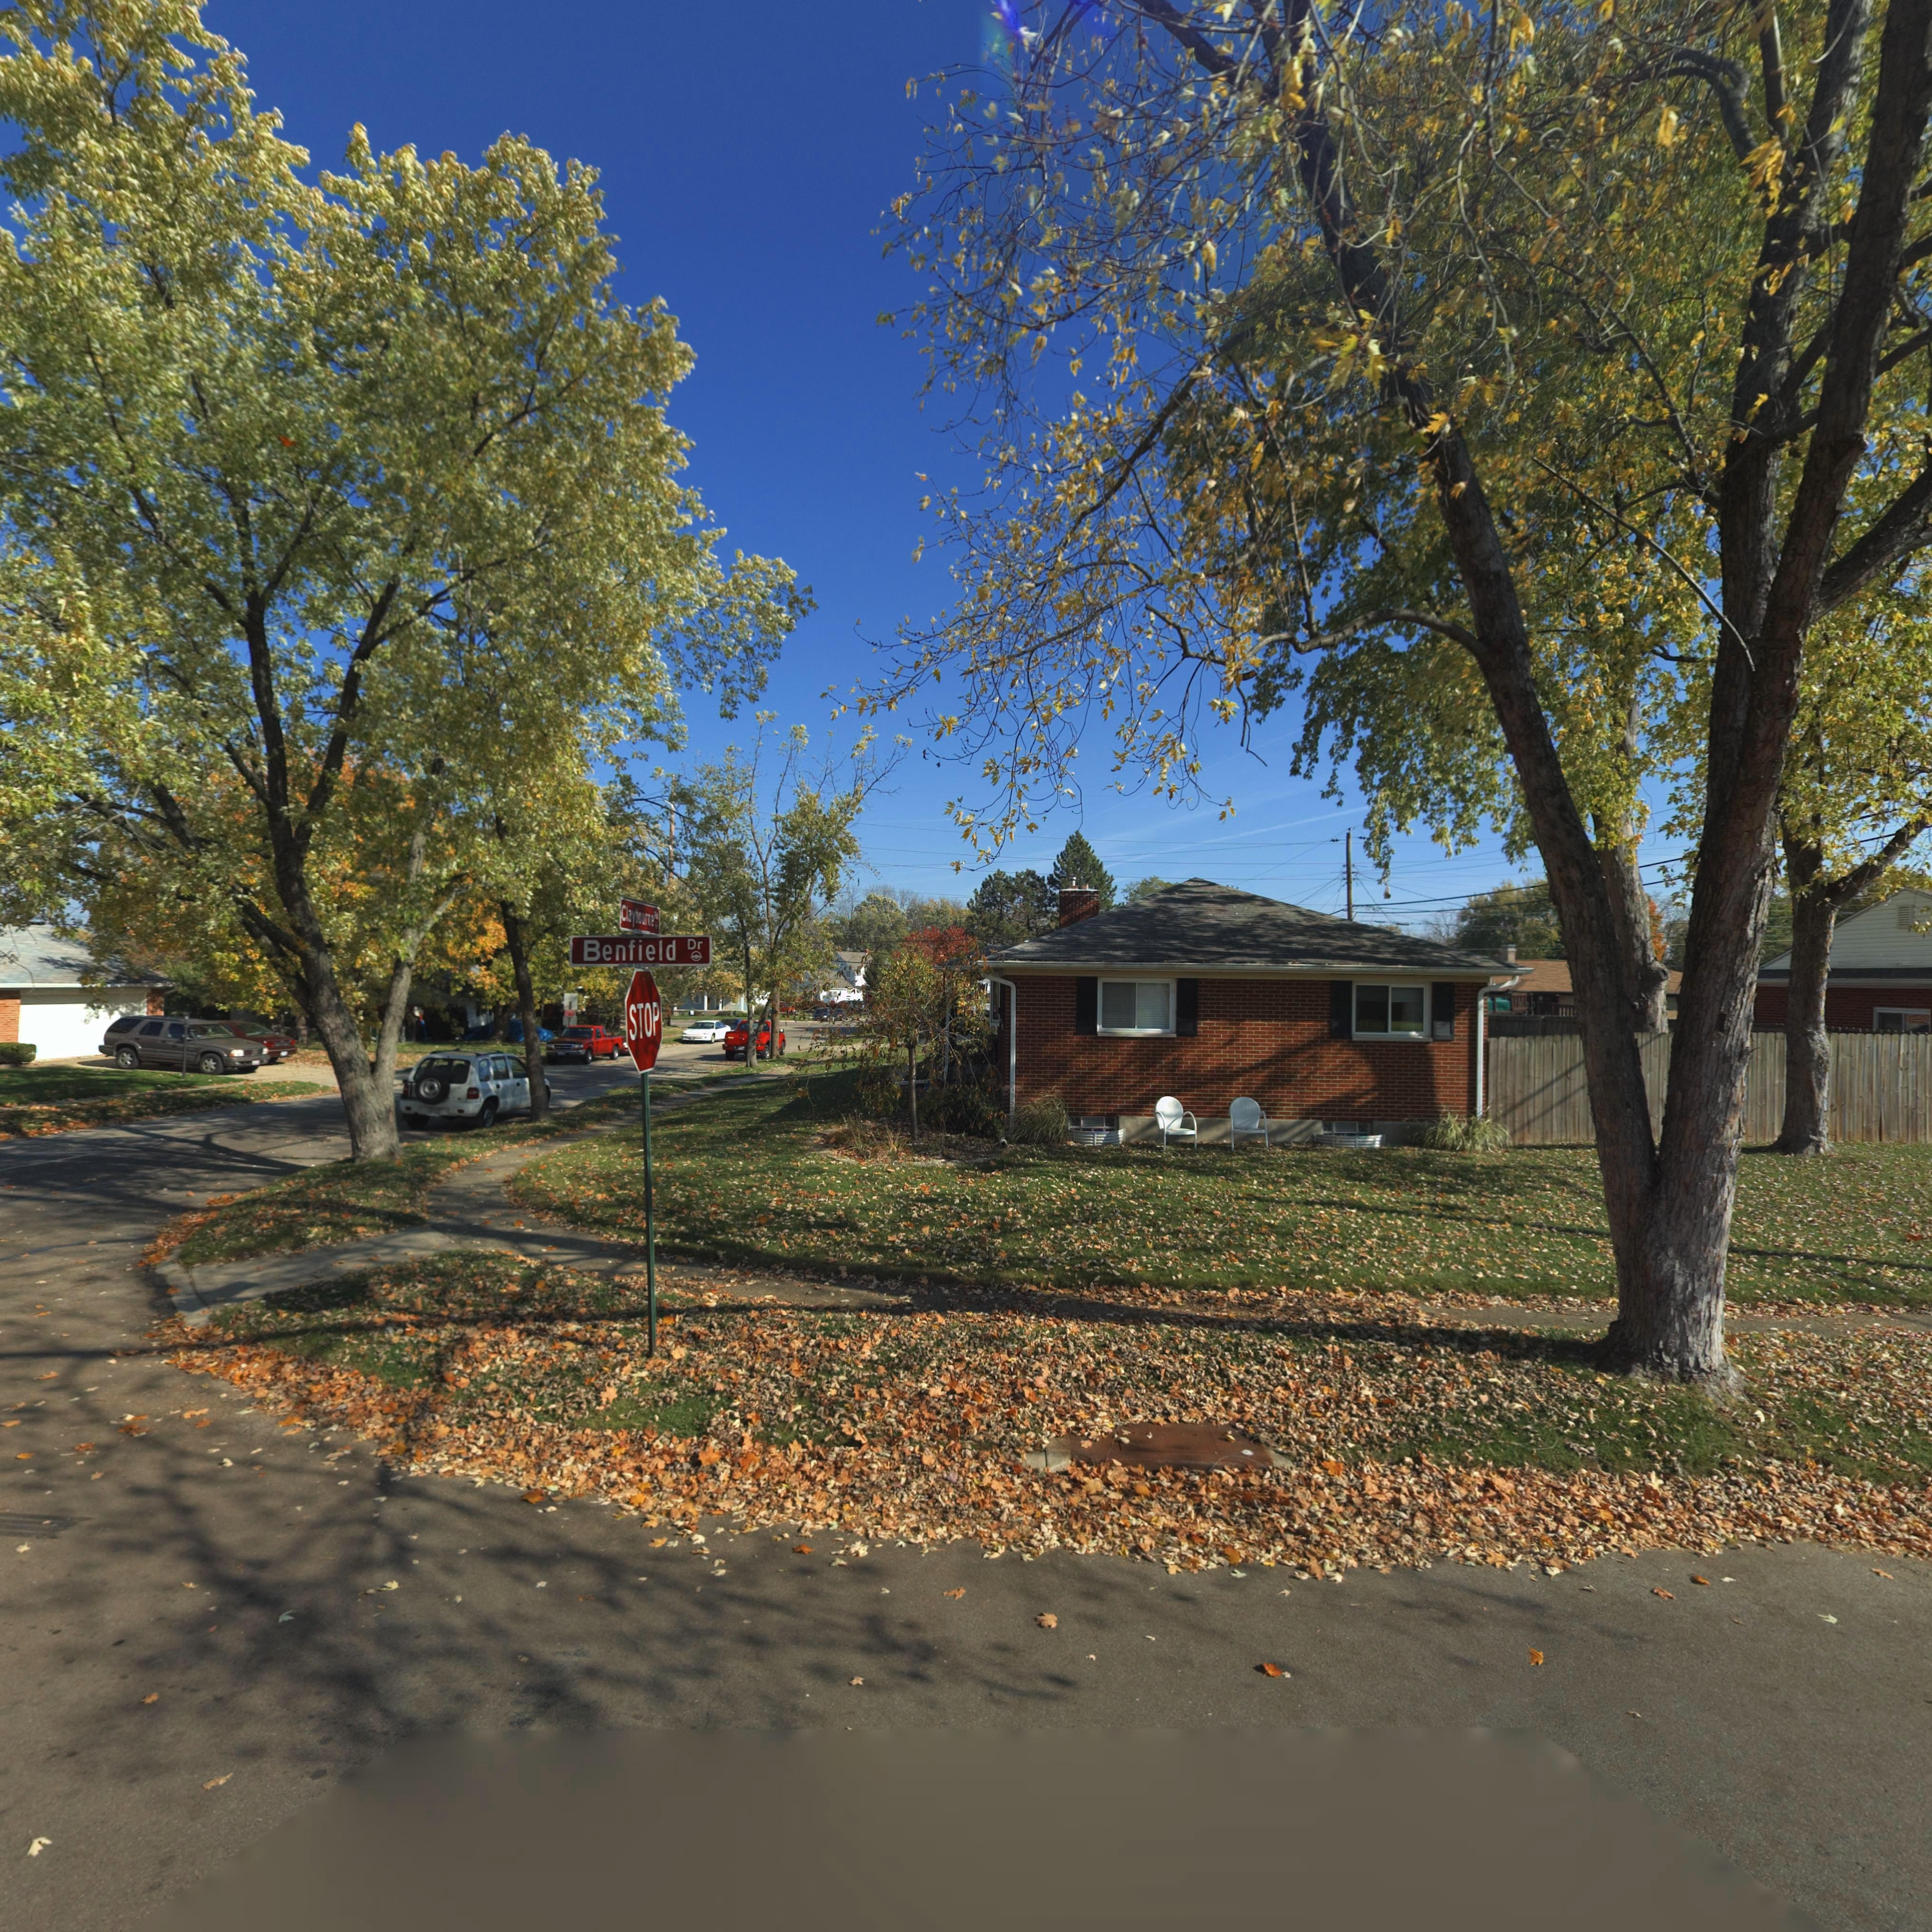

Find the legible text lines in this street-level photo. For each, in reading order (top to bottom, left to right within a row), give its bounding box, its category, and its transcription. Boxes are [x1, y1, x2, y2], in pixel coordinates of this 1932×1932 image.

[620, 903, 655, 928] StreetName: Claybourne
[582, 937, 705, 963] StreetName: Benfield Dr